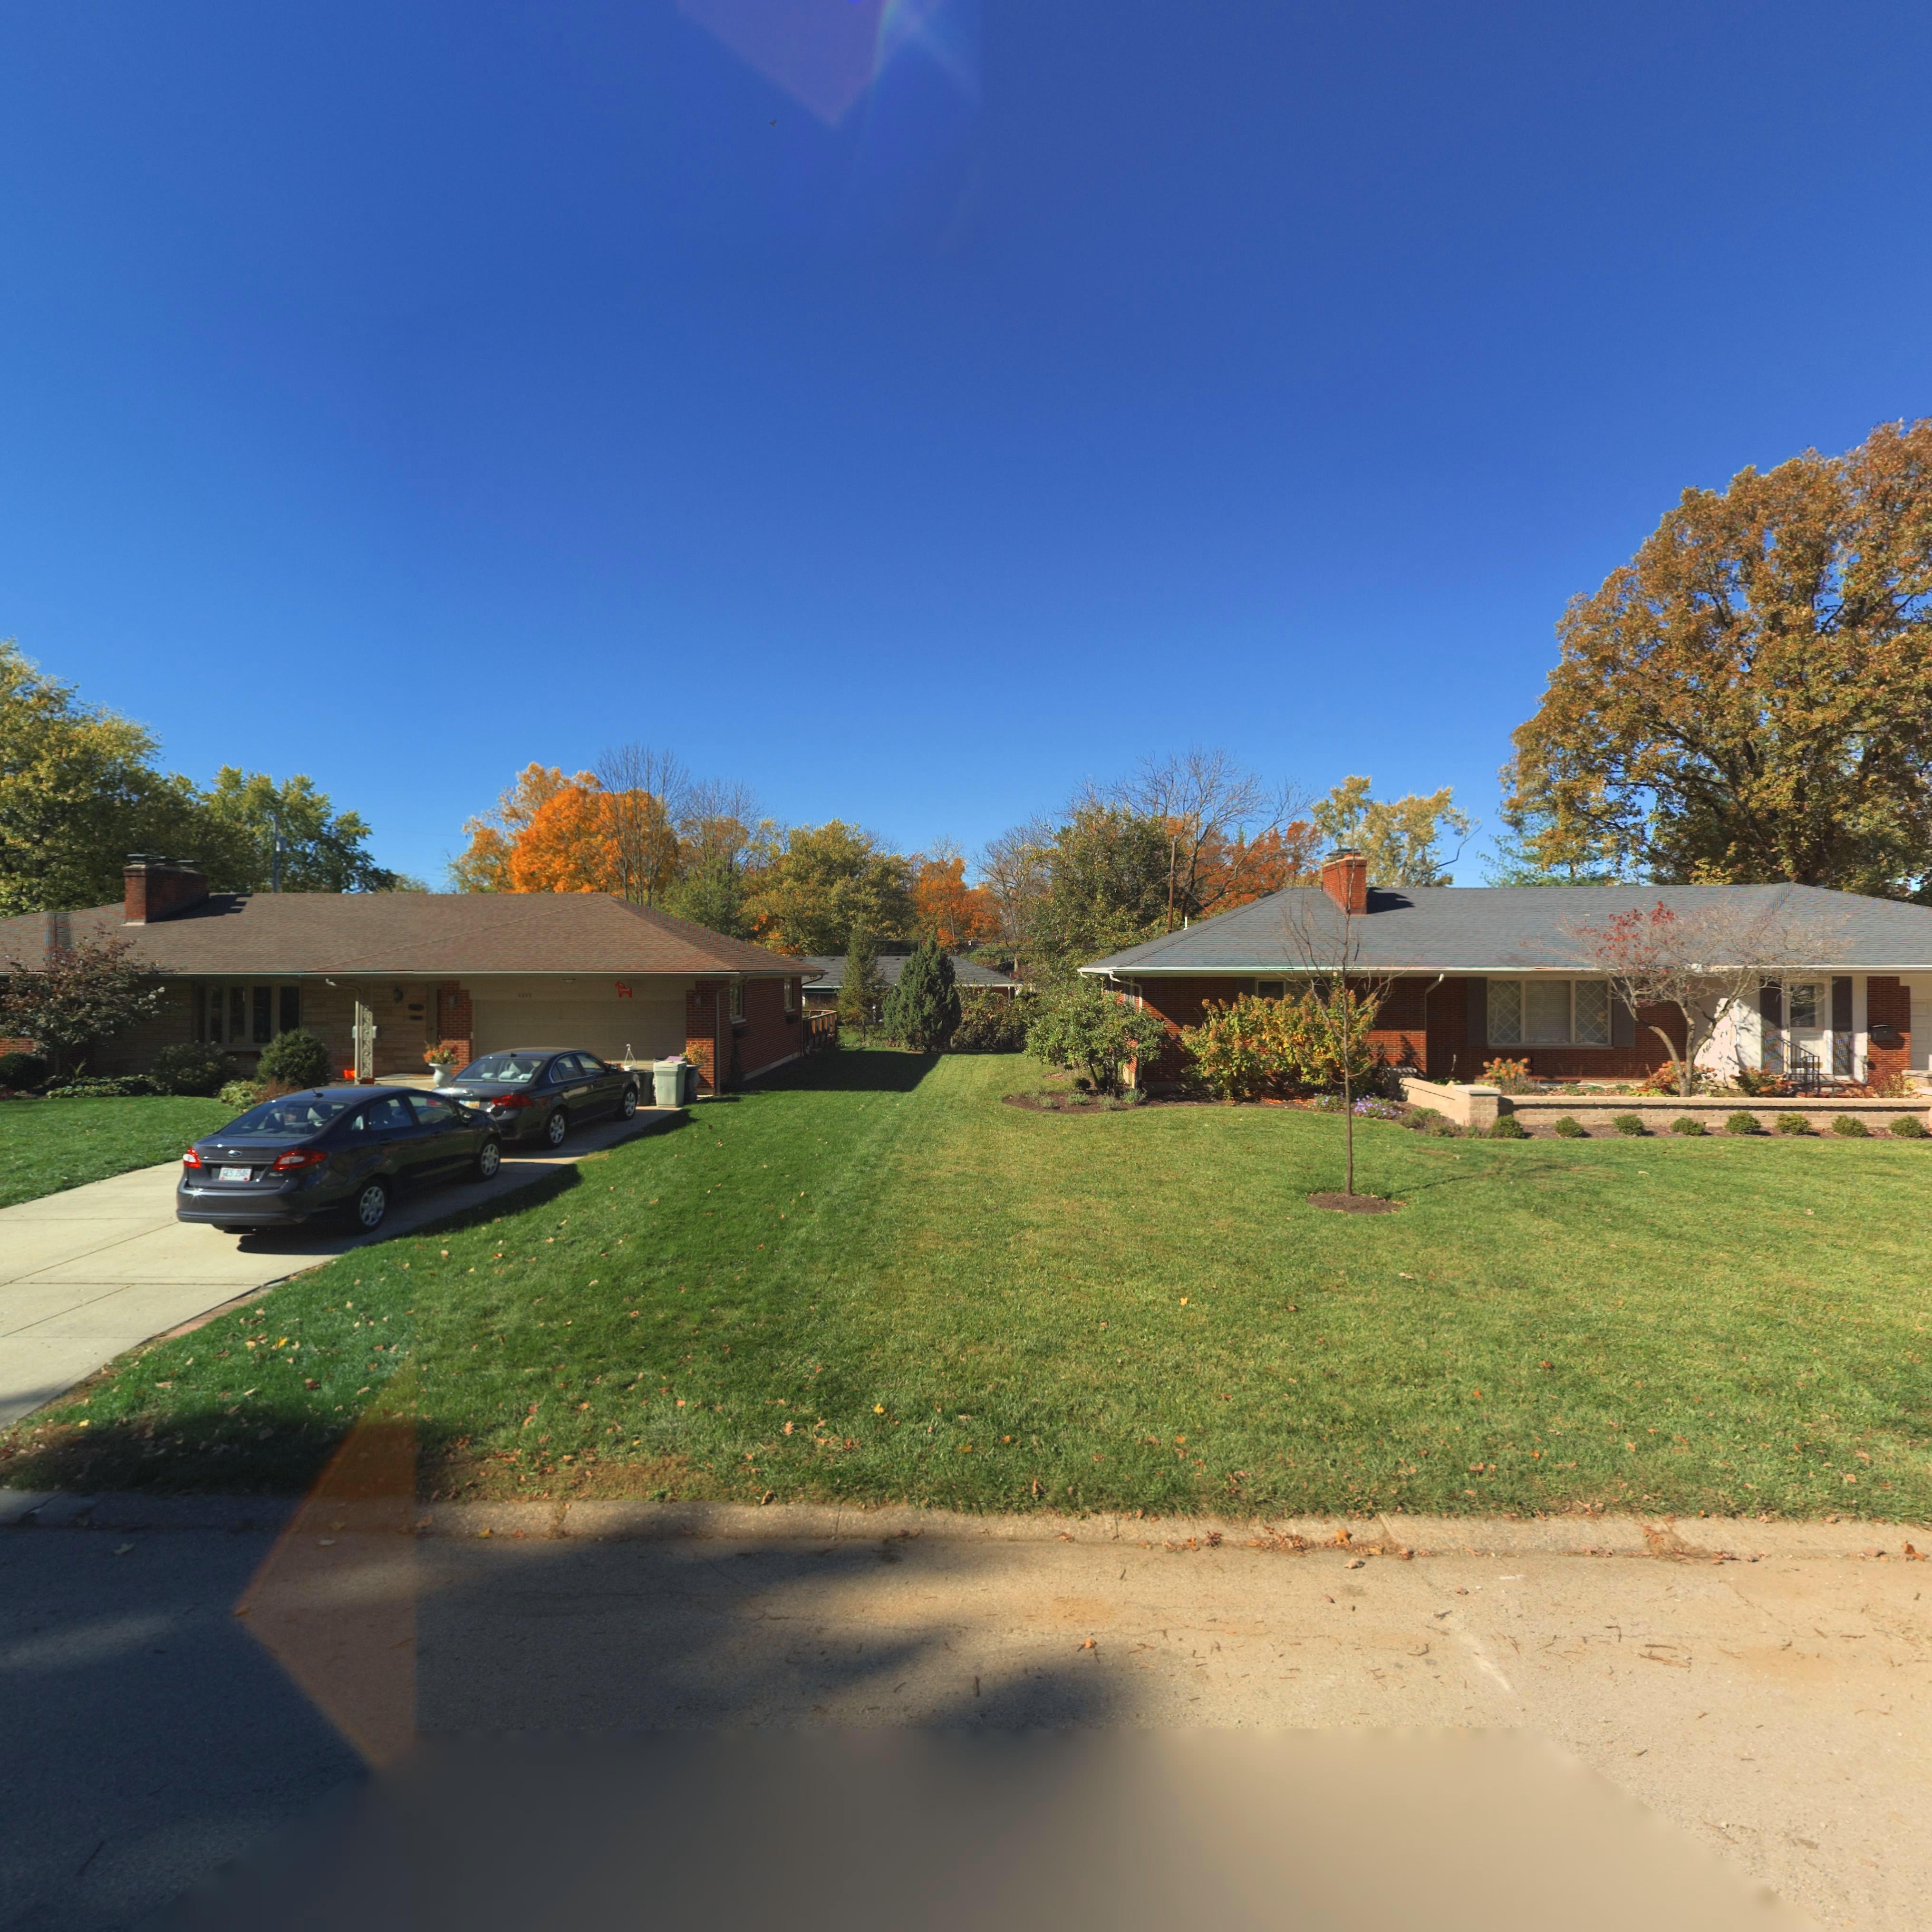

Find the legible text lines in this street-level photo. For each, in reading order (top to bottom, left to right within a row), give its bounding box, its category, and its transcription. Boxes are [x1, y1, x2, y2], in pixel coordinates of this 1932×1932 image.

[517, 992, 533, 998] StreetNumber: 4249